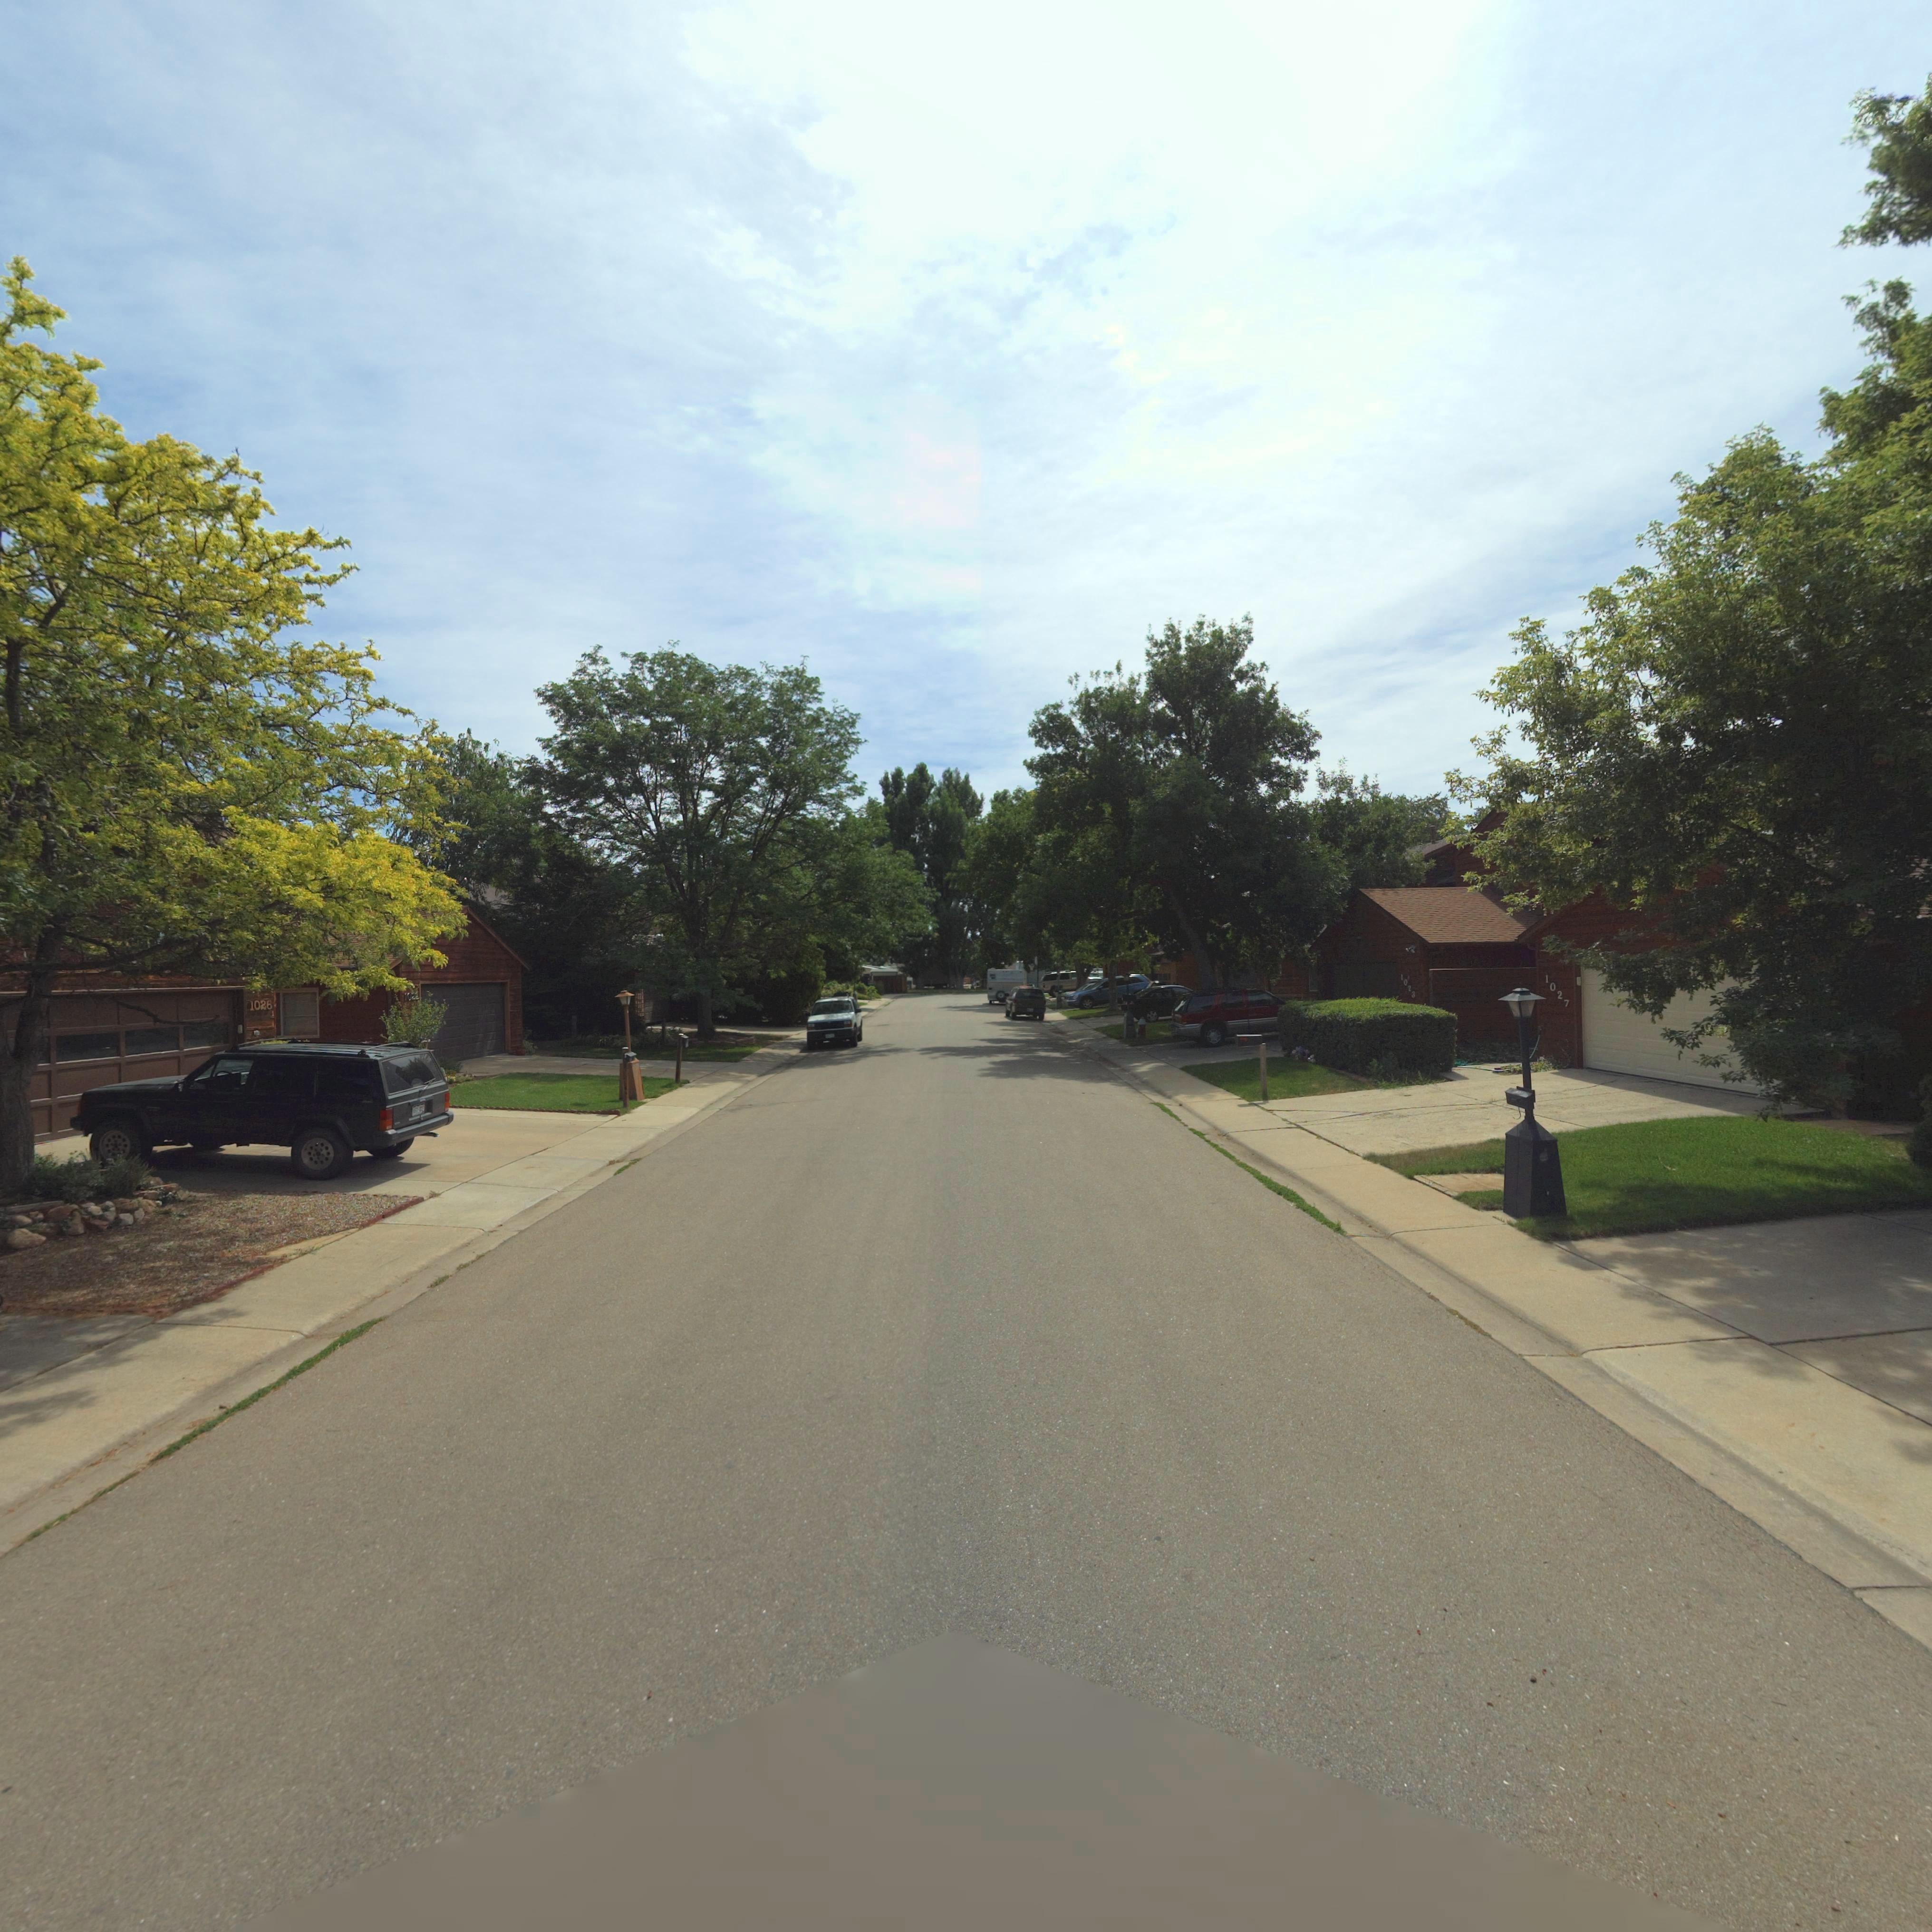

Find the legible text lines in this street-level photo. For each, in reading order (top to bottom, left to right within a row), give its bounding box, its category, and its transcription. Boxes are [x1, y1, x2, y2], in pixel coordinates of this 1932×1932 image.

[1401, 973, 1415, 998] StreetNumber: 1023
[1545, 974, 1569, 1006] StreetNumber: 1027
[250, 1000, 272, 1011] StreetNumber: 1026